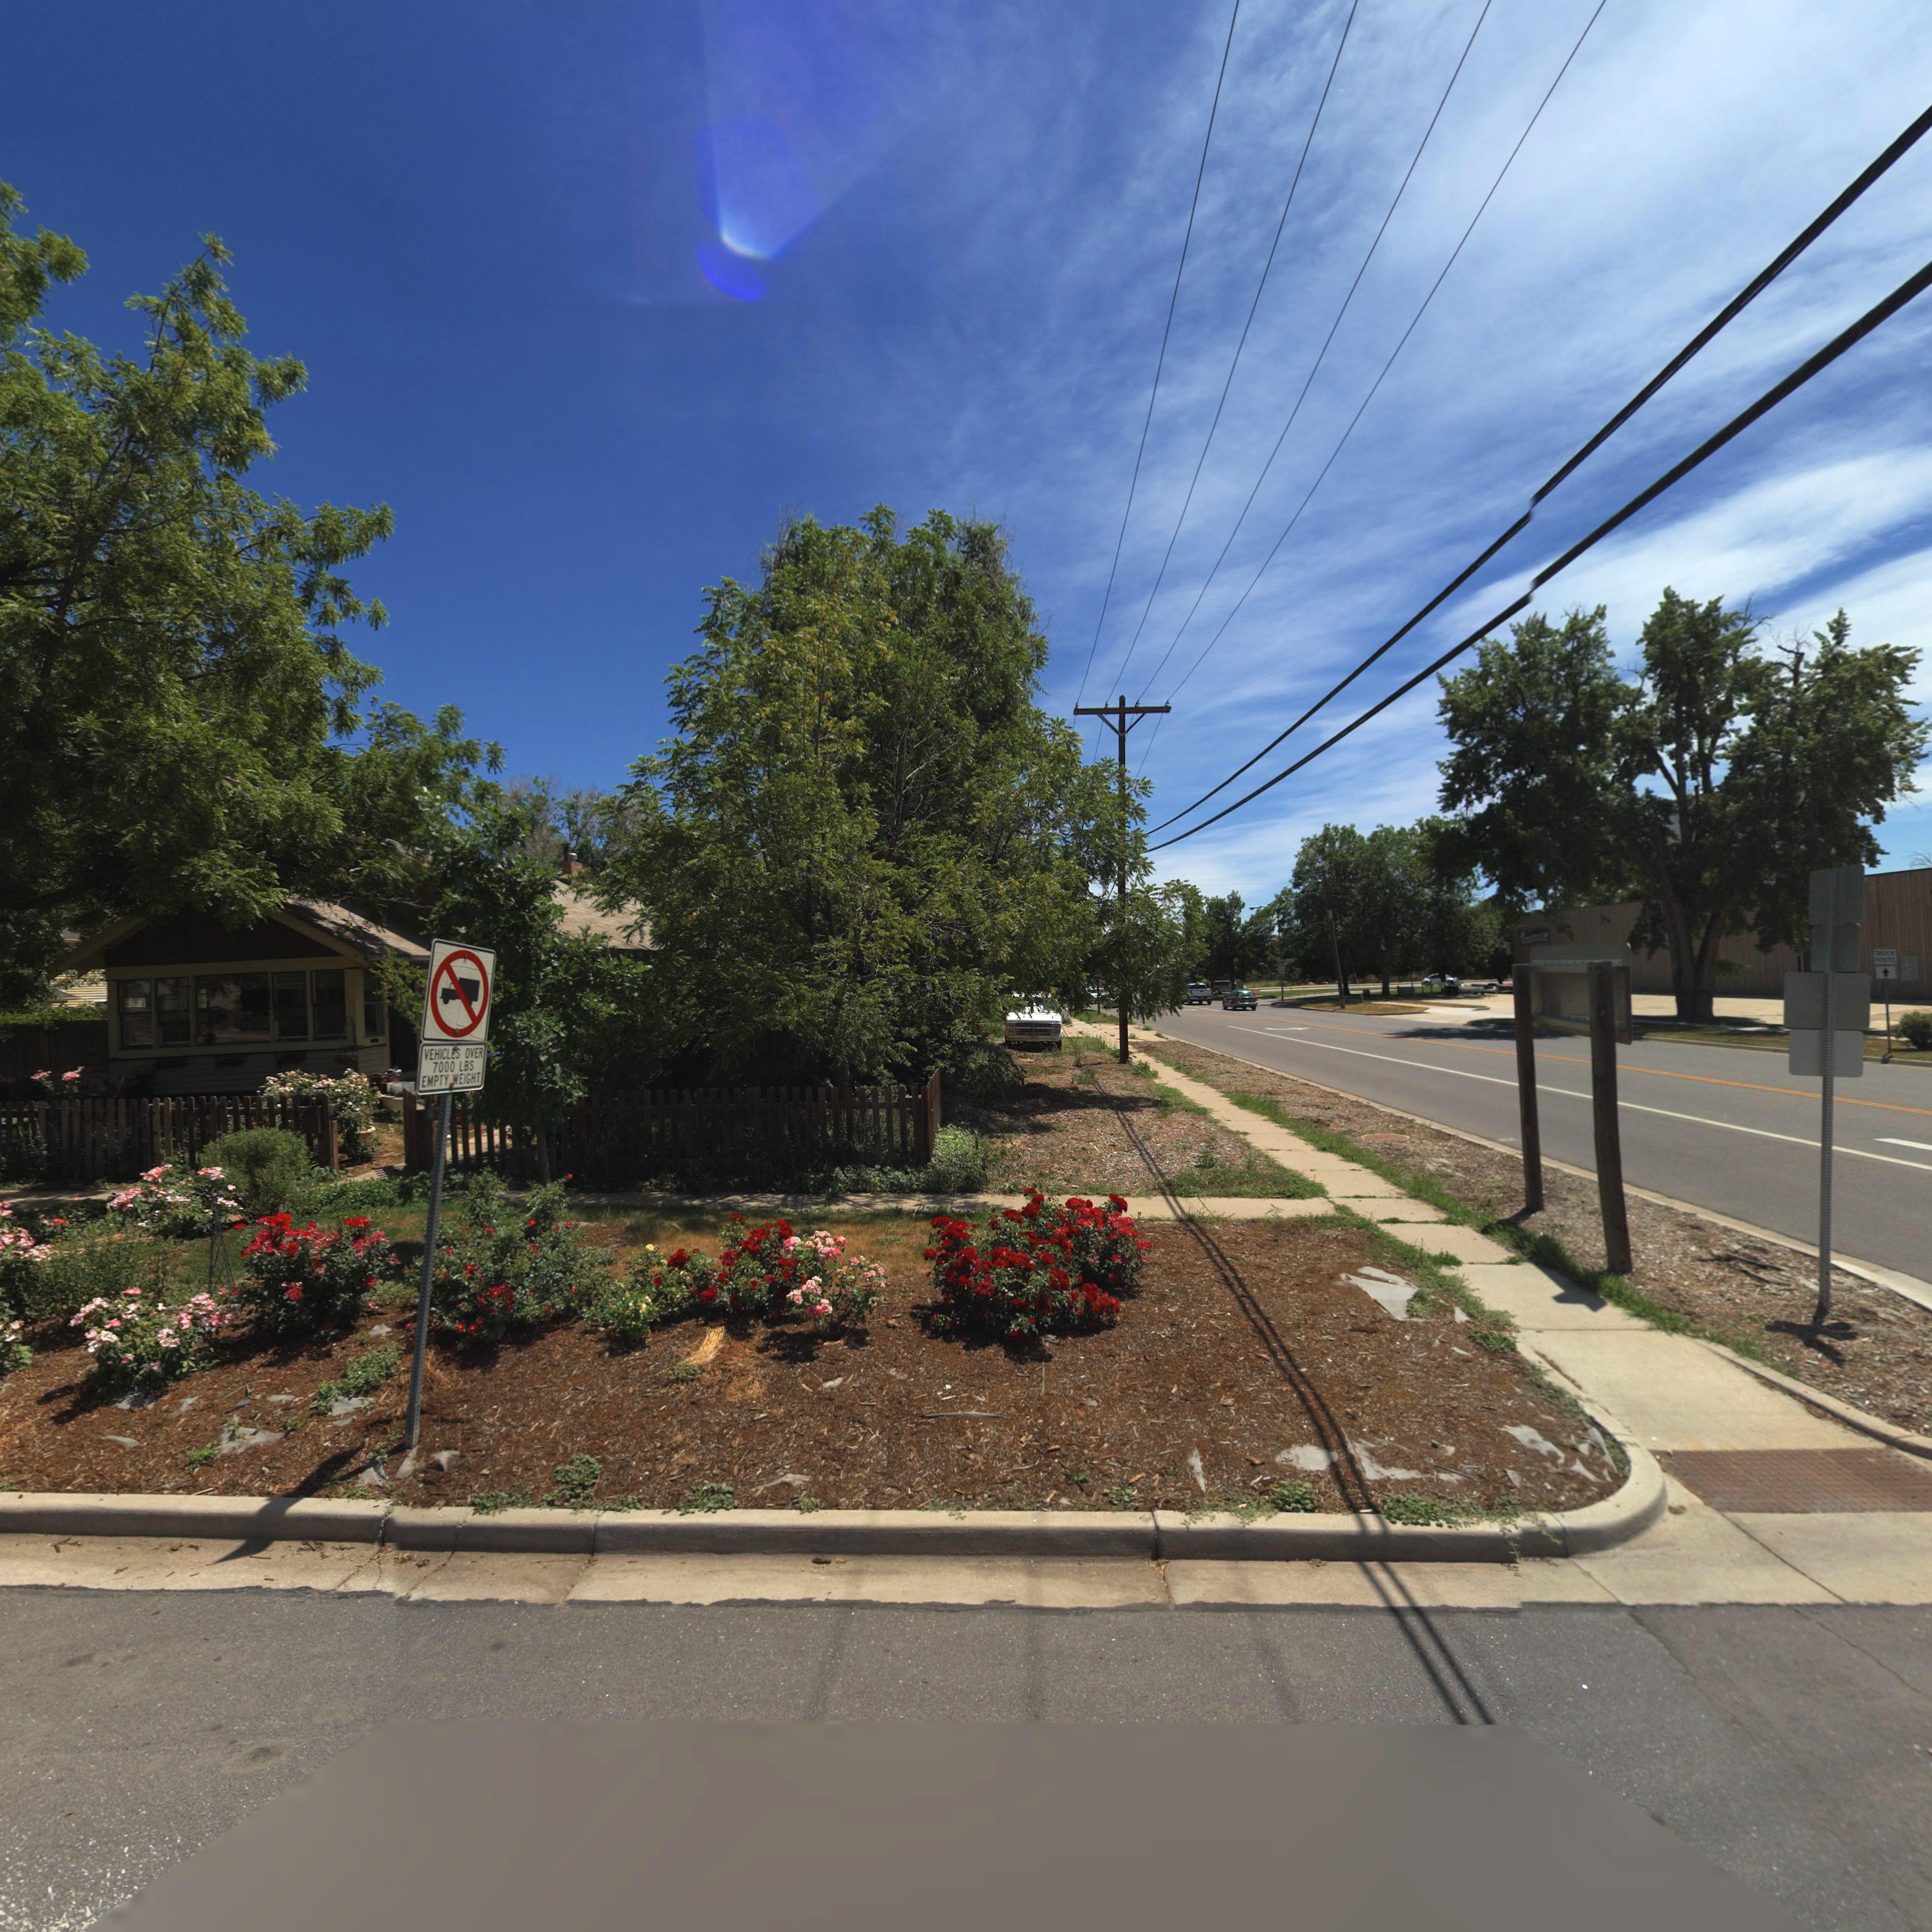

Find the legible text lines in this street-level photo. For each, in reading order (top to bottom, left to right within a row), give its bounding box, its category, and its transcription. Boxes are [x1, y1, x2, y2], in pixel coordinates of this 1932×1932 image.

[345, 990, 356, 1010] StreetNumber: *0*
[433, 1110, 438, 1117] StreetNumber: 2